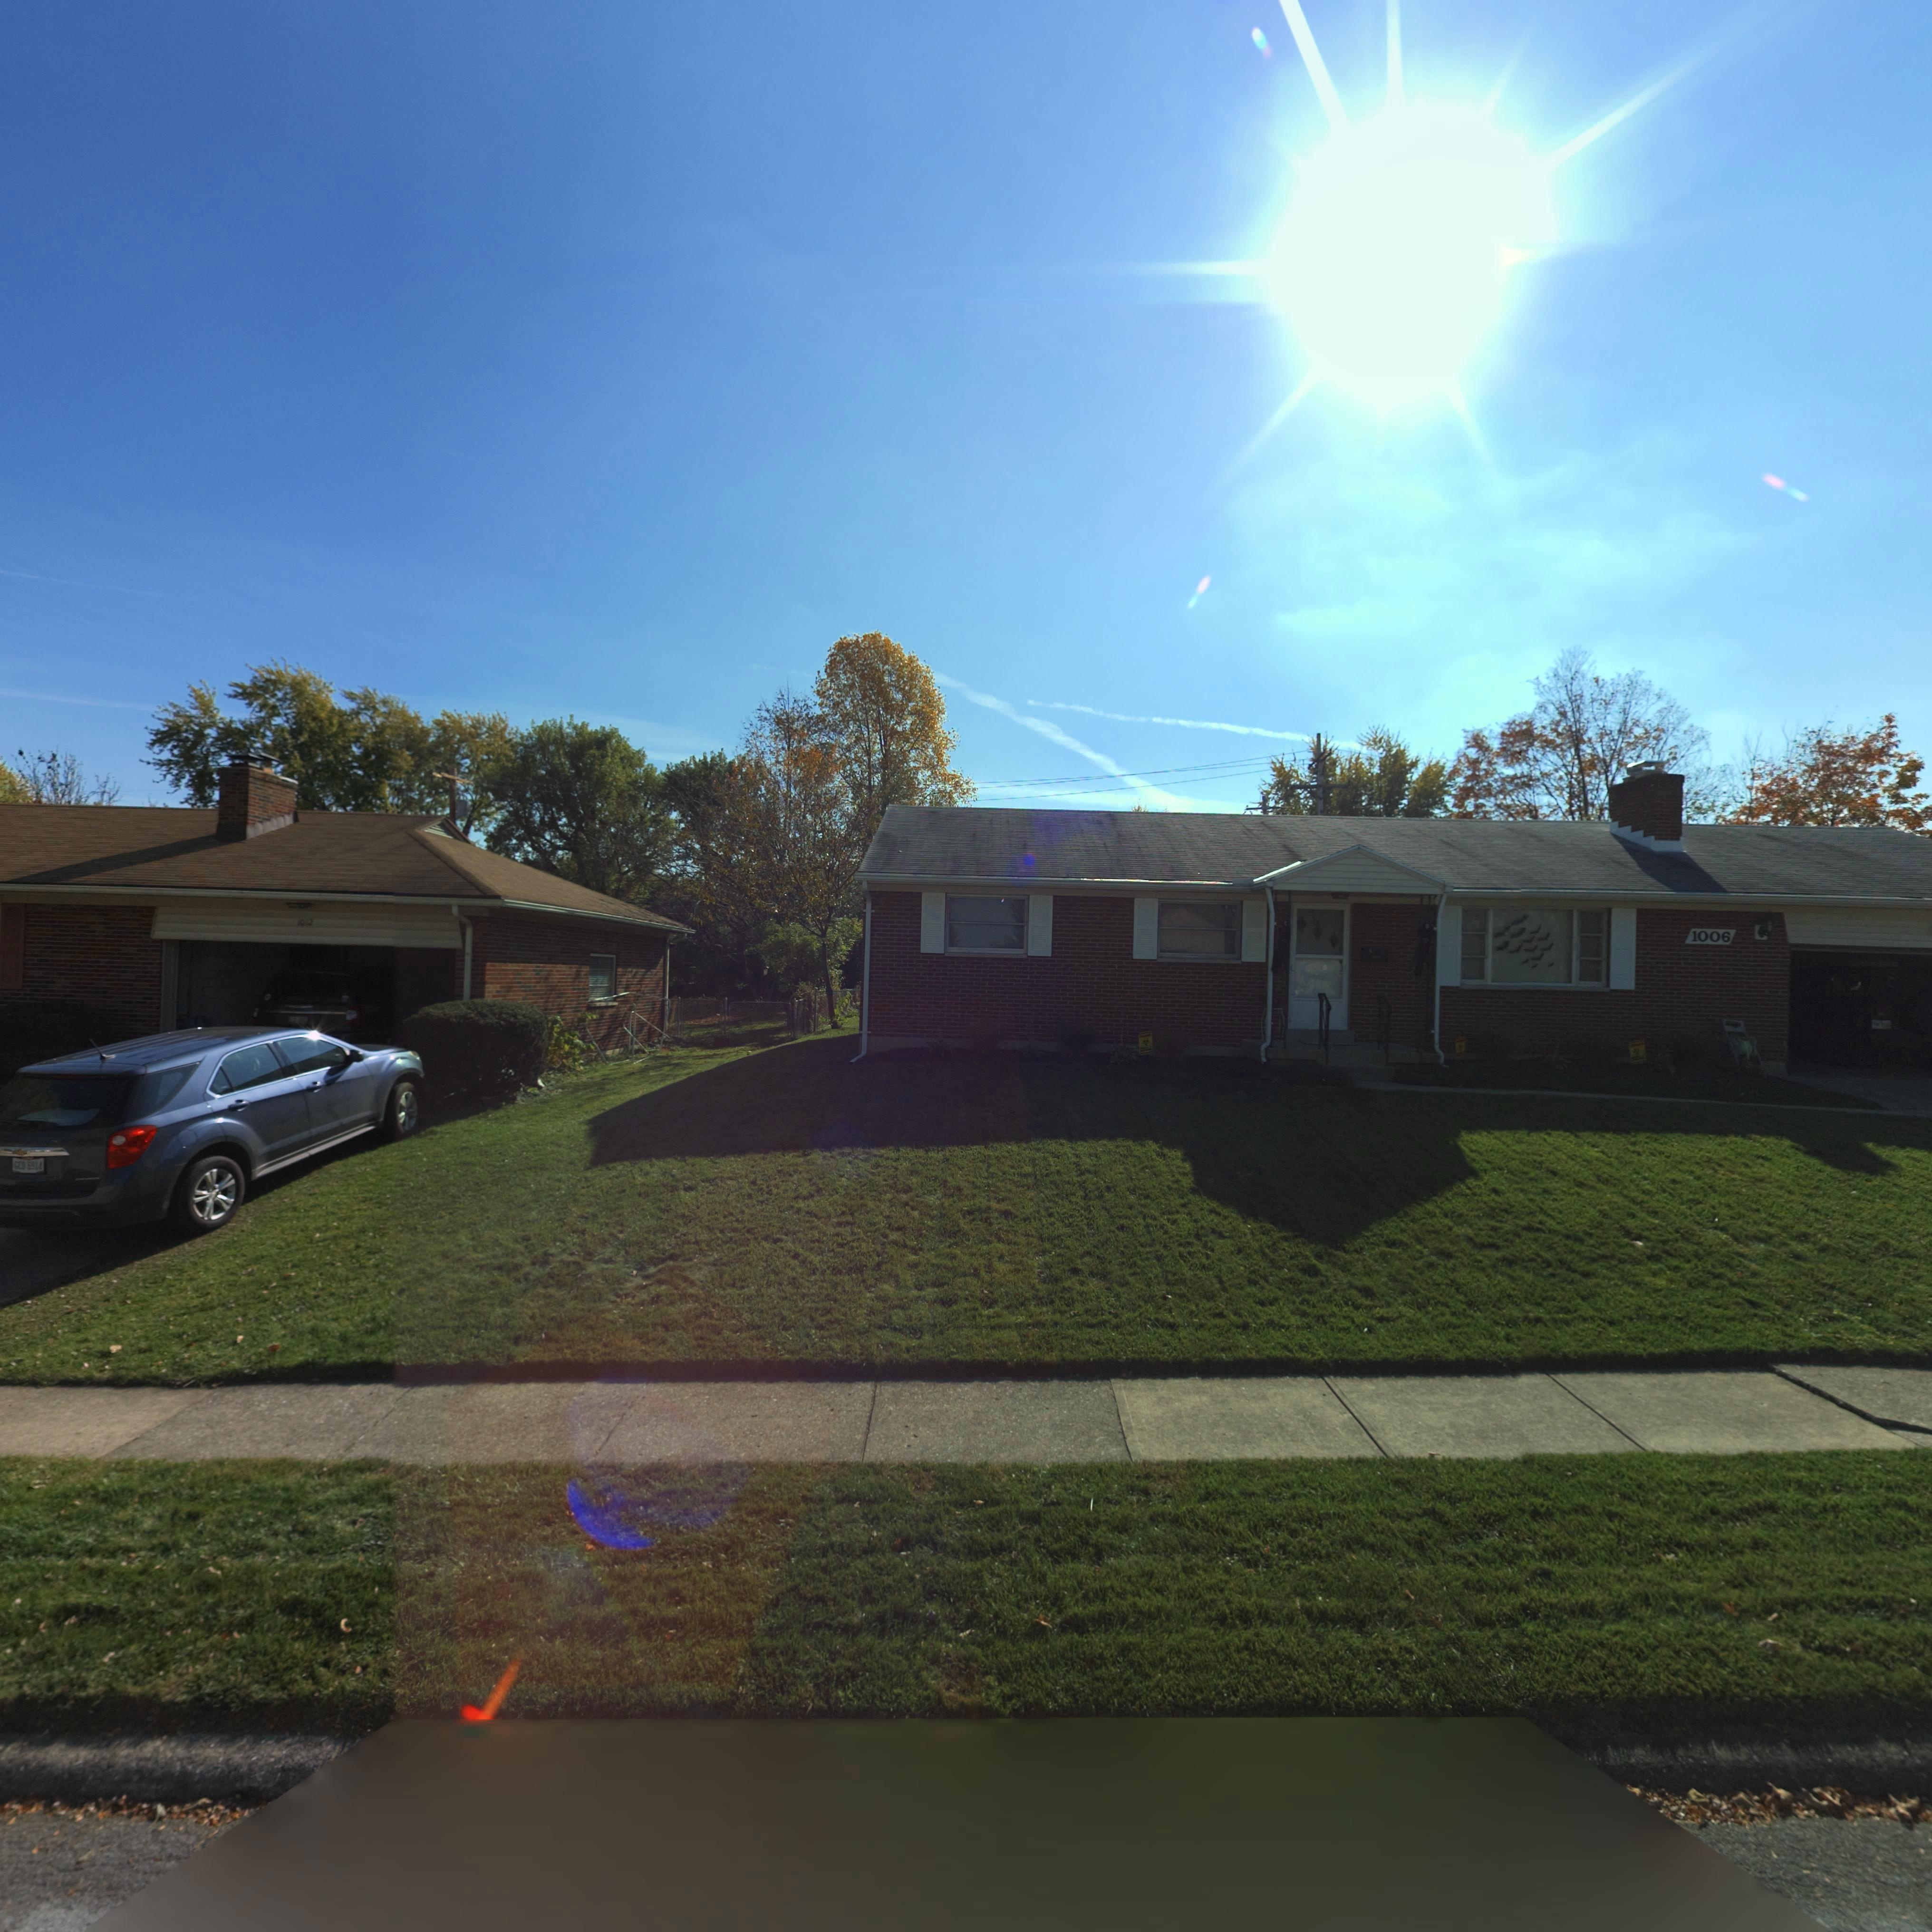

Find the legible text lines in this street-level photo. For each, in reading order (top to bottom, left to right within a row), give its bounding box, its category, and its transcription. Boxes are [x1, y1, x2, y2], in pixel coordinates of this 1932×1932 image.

[296, 917, 314, 928] StreetNumber: 1012
[1690, 929, 1731, 944] StreetNumber: 1006